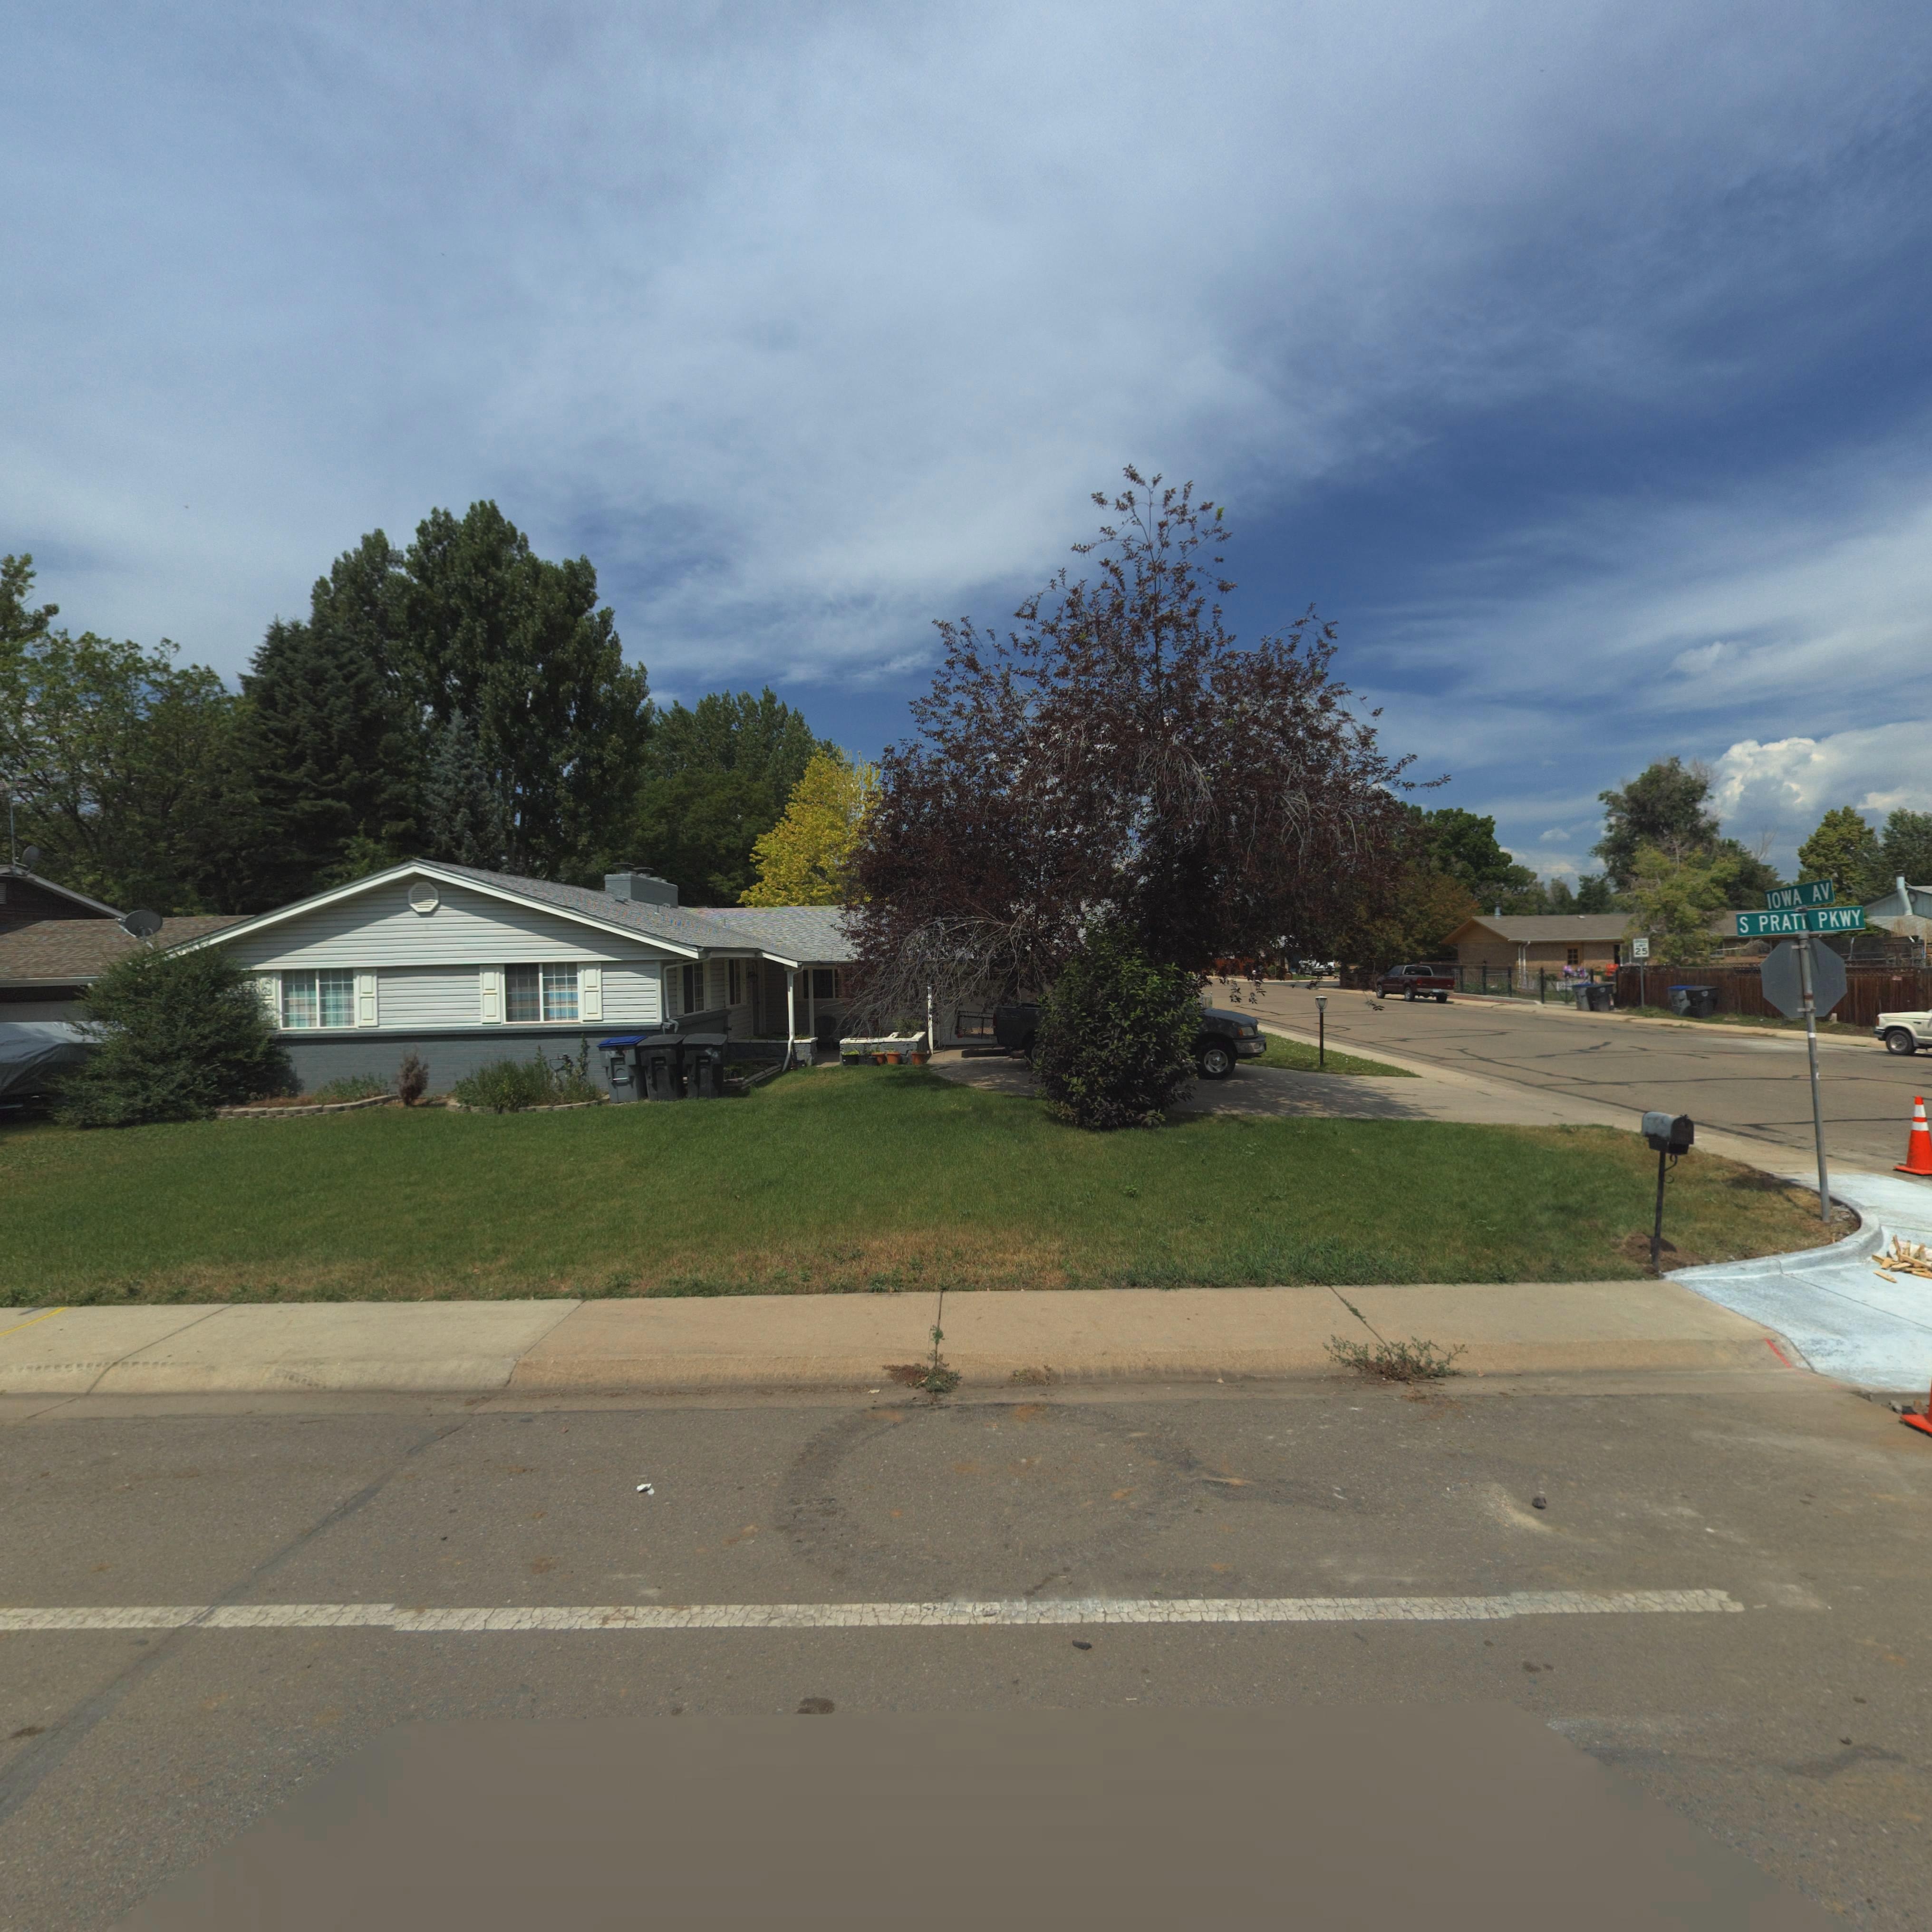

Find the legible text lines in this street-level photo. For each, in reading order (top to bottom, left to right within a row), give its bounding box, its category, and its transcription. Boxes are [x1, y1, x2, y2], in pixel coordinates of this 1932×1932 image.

[1766, 881, 1830, 910] StreetName: IOWA AV
[1739, 908, 1861, 933] StreetName: S PRATT PKWY